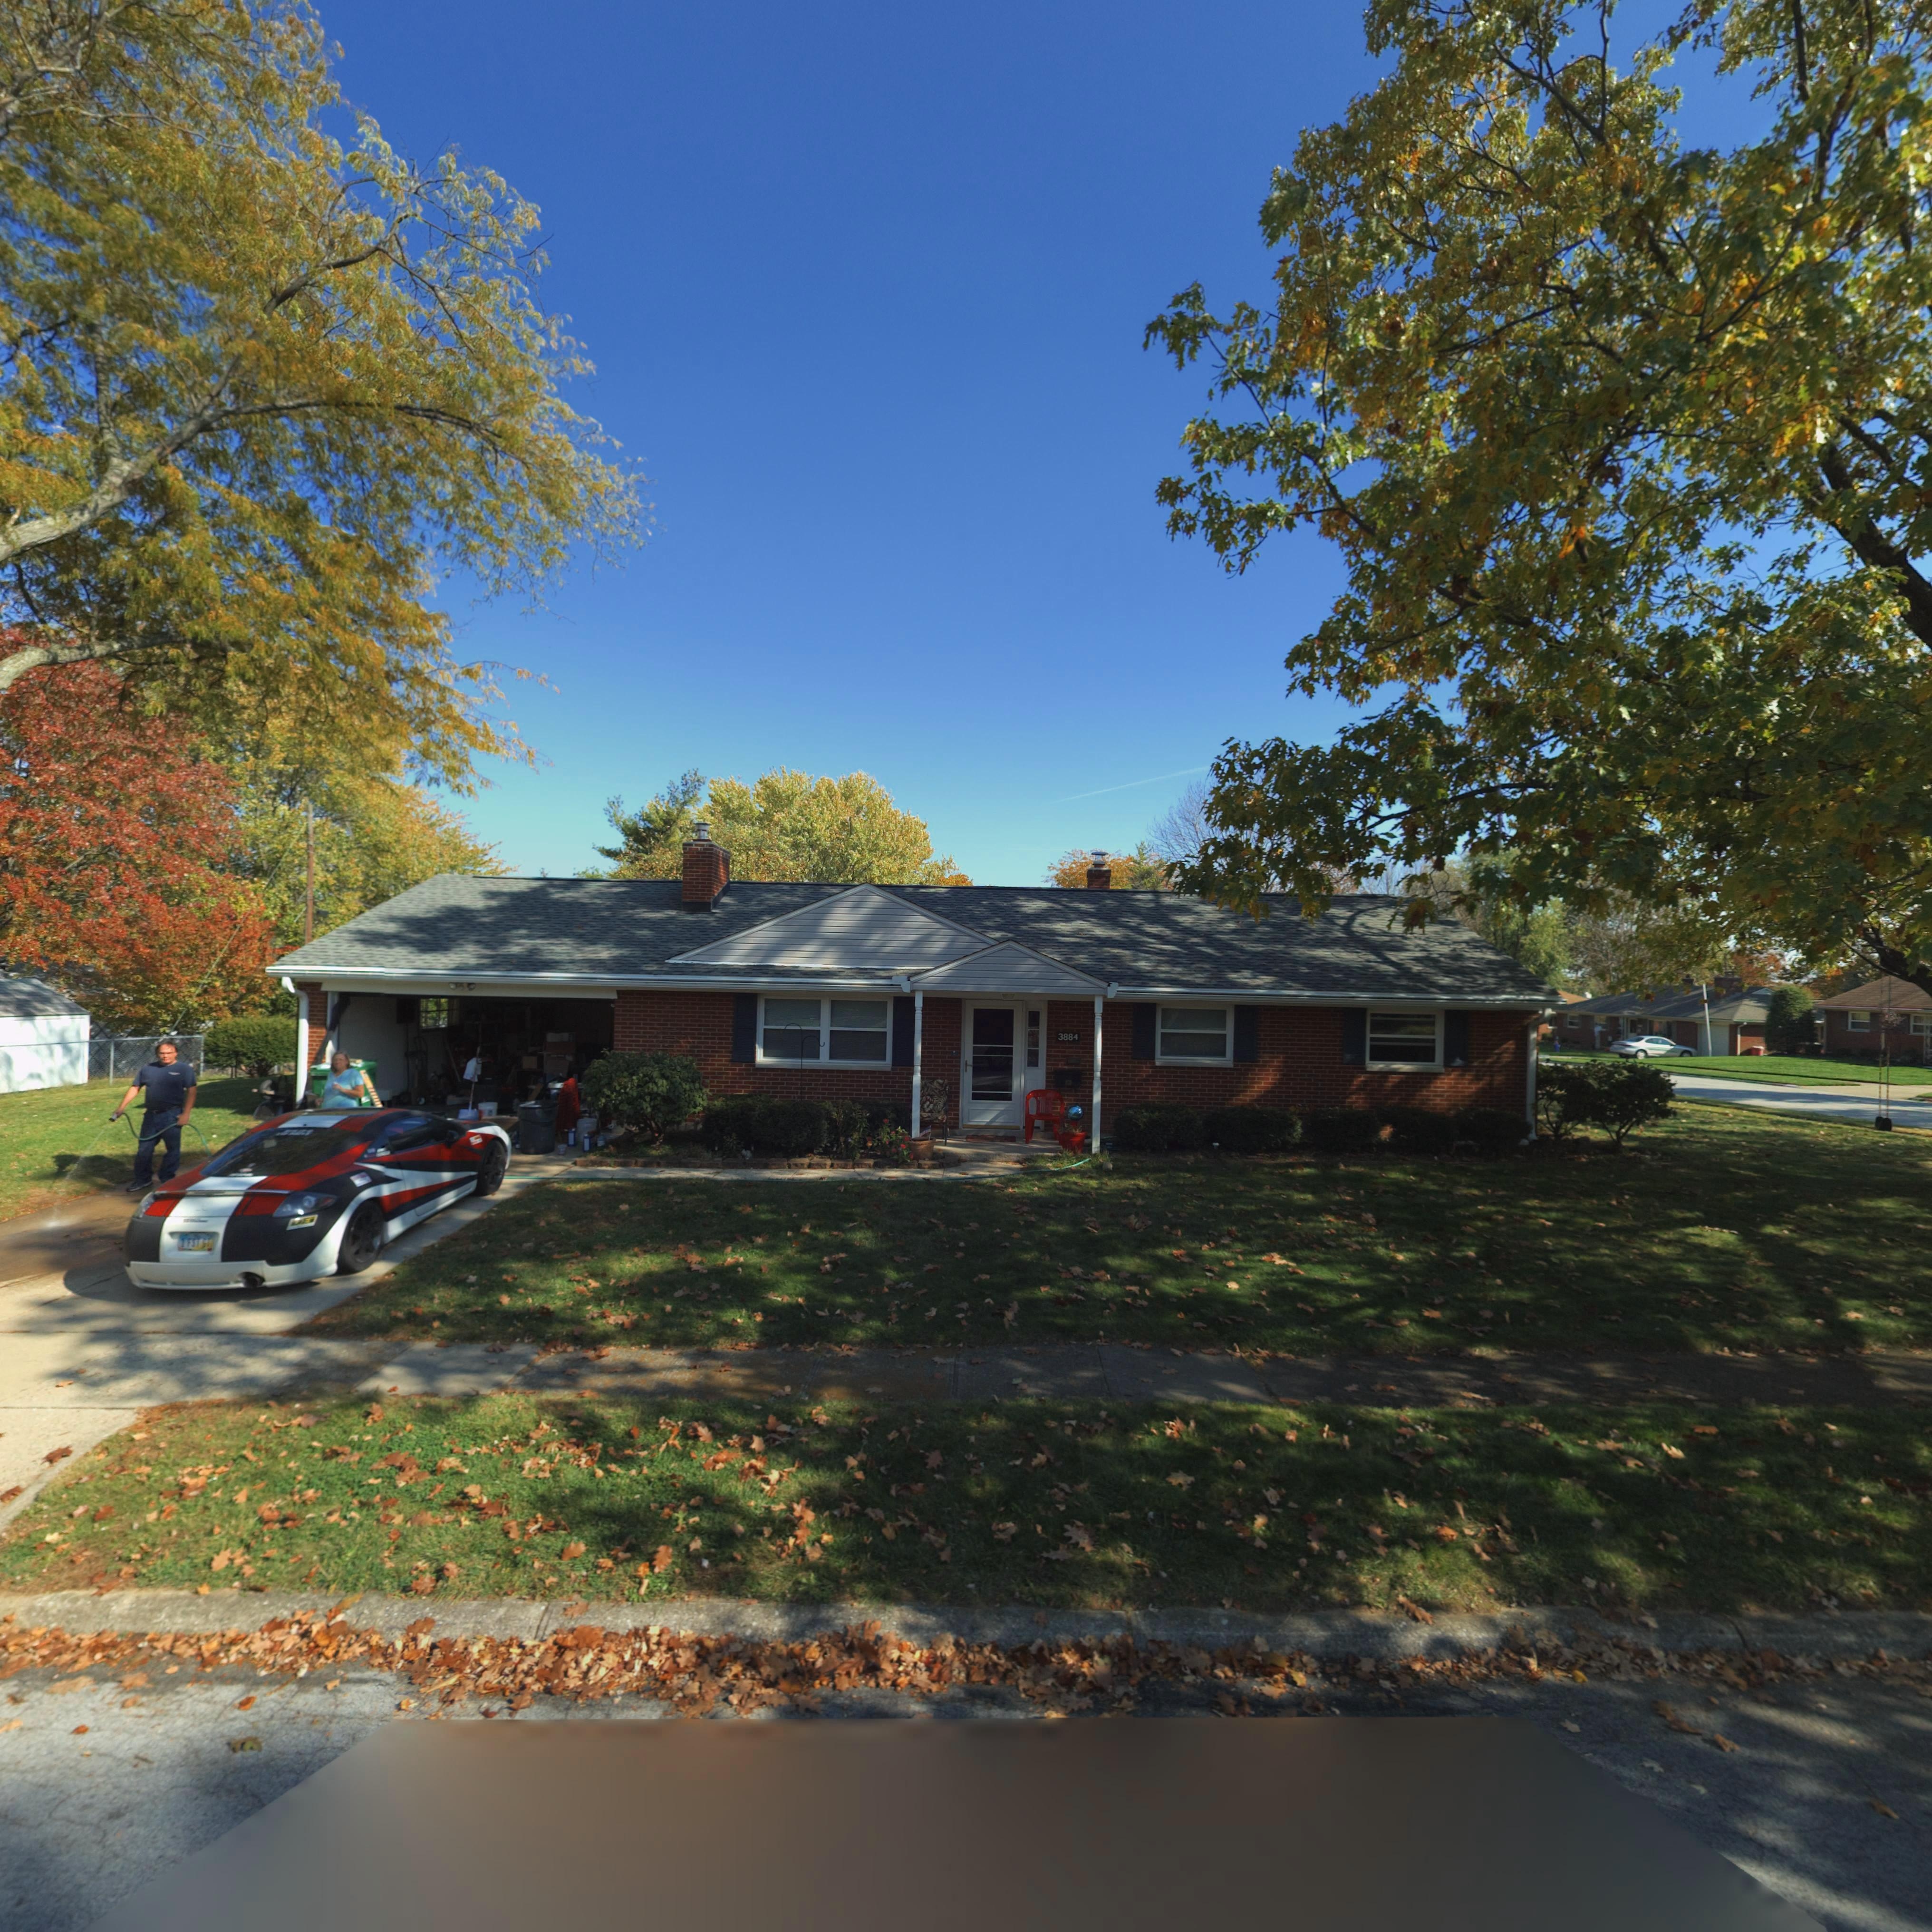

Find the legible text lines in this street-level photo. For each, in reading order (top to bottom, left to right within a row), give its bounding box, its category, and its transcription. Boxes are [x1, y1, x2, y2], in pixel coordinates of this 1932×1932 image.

[1057, 1032, 1079, 1042] StreetNumber: 3884
[468, 1133, 484, 1147] None: 5
[301, 1217, 310, 1225] None: E
[179, 1235, 213, 1250] None: 1 FST *T